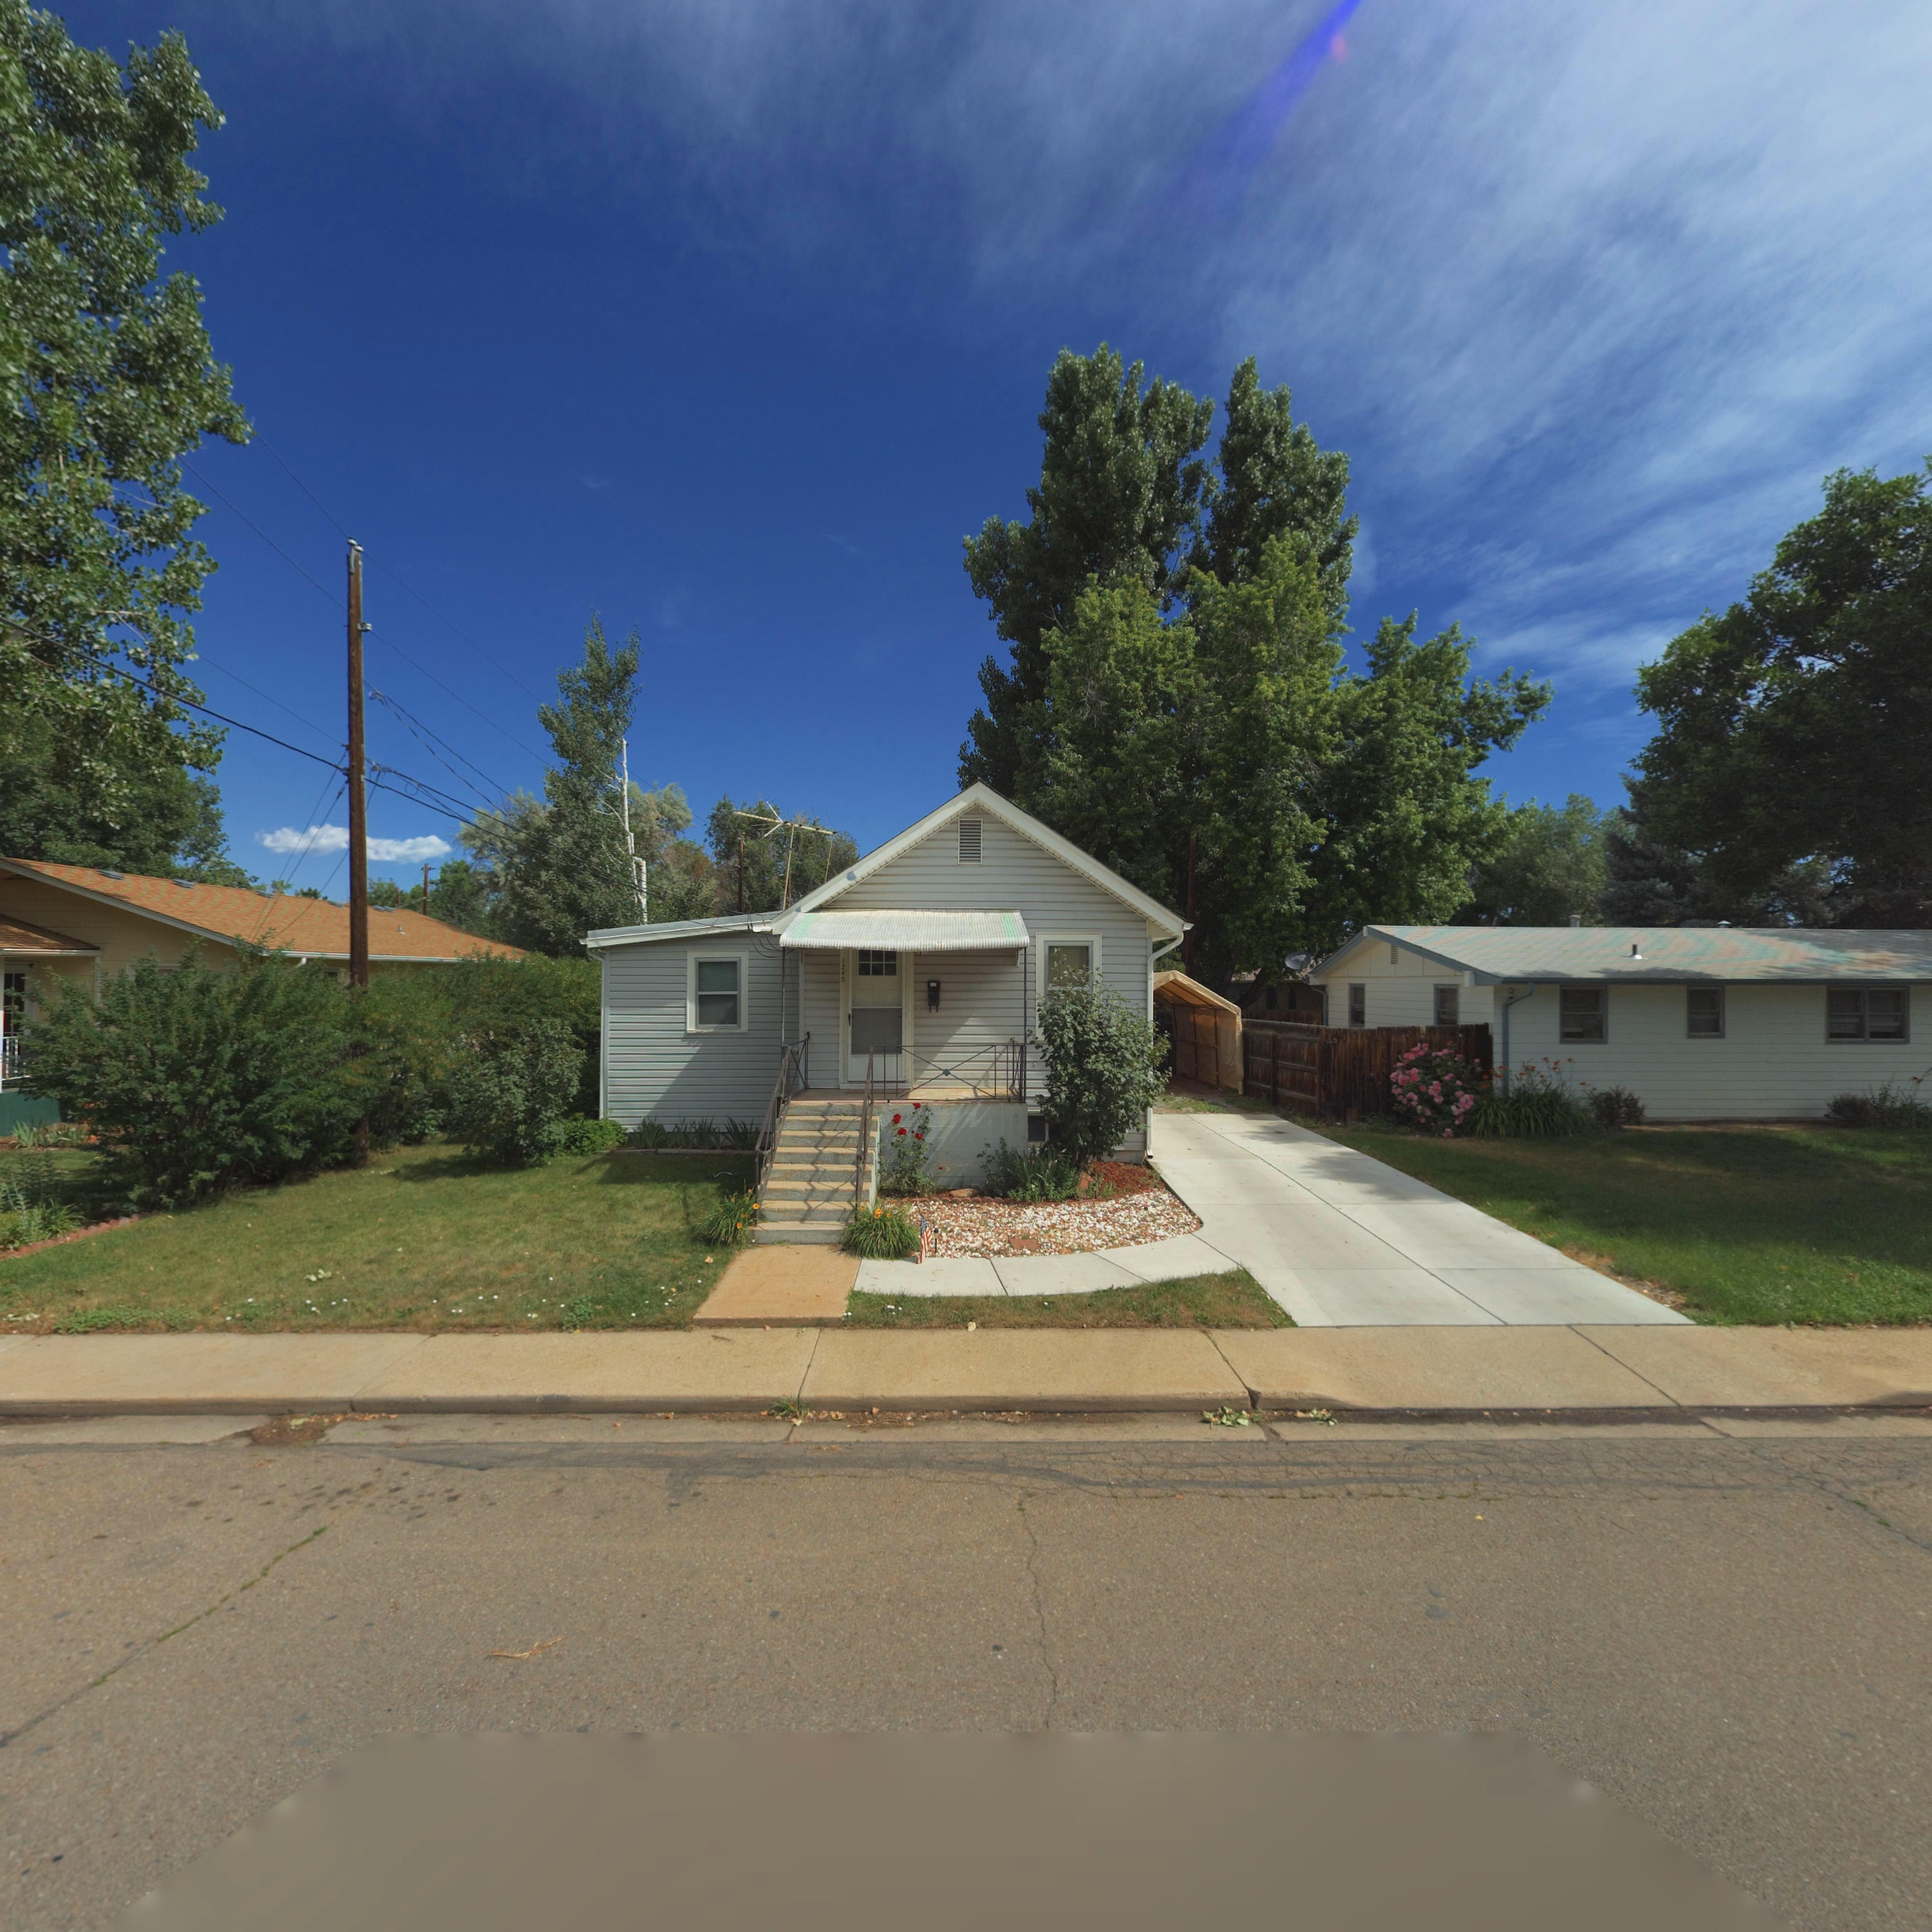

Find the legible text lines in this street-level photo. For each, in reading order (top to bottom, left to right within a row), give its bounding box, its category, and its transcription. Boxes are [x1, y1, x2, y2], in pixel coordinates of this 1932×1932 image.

[840, 957, 845, 983] StreetNumber: 1240